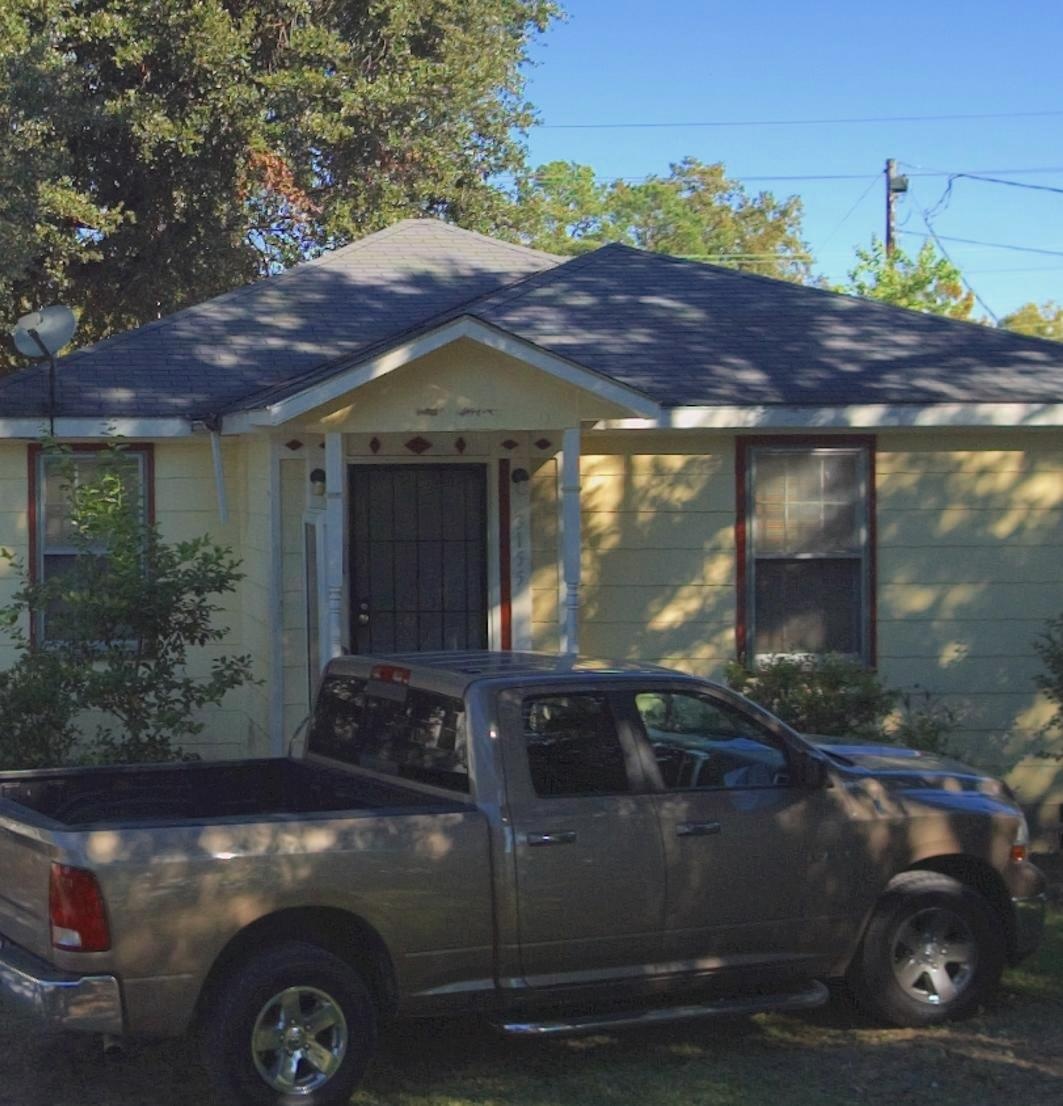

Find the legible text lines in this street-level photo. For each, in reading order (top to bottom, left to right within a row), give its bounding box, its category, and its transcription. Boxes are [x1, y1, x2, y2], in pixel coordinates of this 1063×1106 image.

[512, 512, 527, 589] StreetNumber: 3155